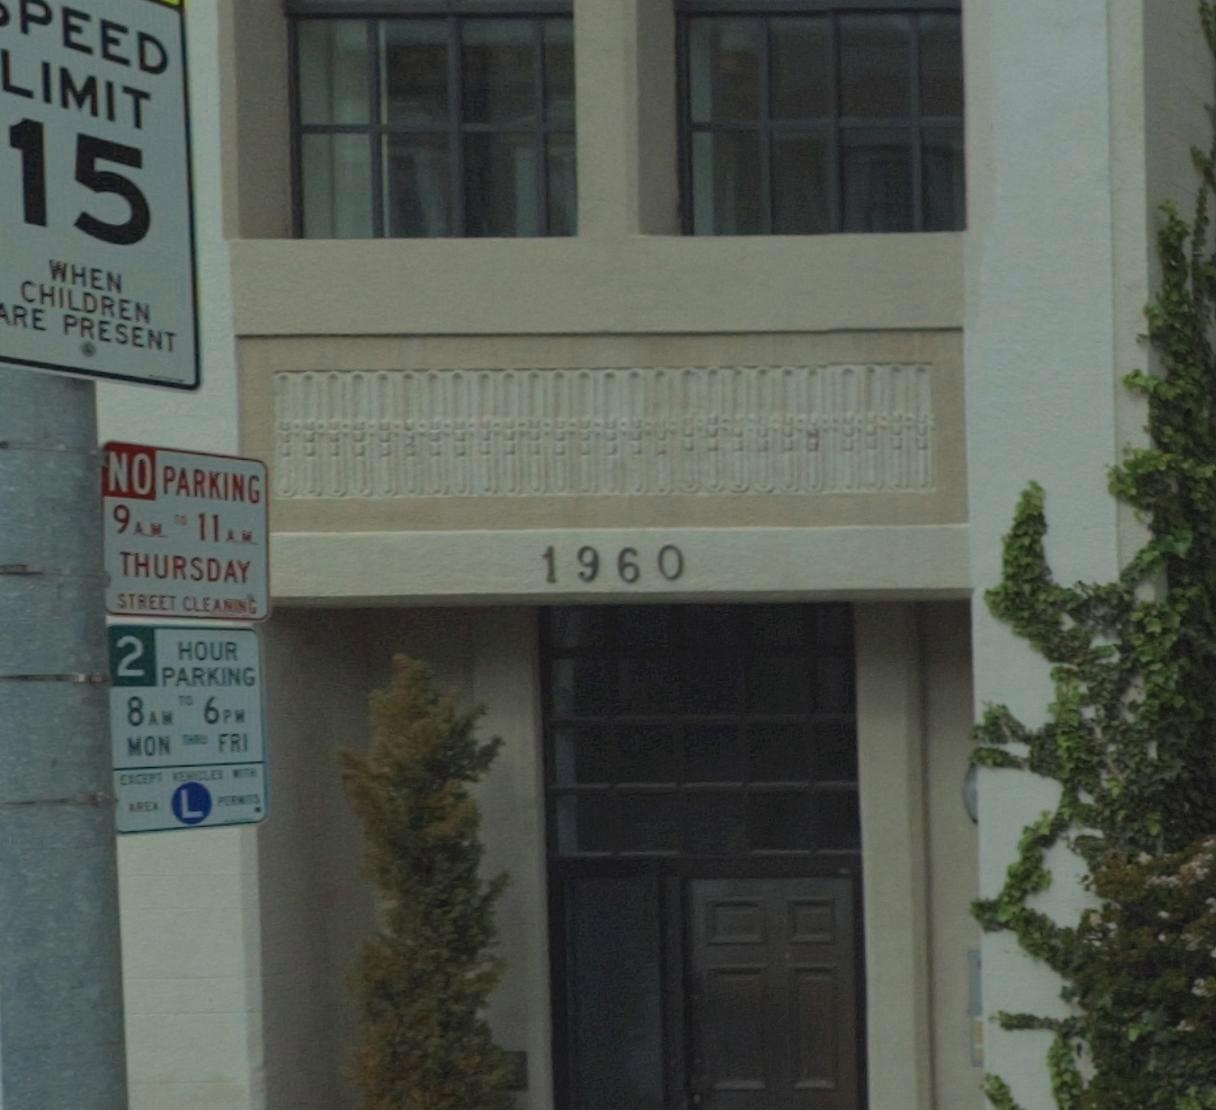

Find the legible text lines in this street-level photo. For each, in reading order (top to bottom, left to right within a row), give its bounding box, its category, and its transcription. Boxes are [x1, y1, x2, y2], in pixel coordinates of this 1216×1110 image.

[60, 2, 171, 78] None: EED
[0, 45, 153, 132] None: LIMIT
[8, 115, 153, 247] None: 15
[46, 256, 124, 295] None: WHEN
[19, 277, 151, 327] None: CHILDREN
[12, 302, 180, 356] None: RE PRESENT
[107, 449, 261, 506] None: NO PARKING
[110, 501, 169, 541] None: 9A.M.
[172, 512, 189, 527] None: TO
[196, 510, 259, 547] None: 11A.M.
[117, 548, 252, 585] None: THURSDAY
[540, 542, 685, 586] StreetNumber: 1960
[115, 589, 258, 617] None: STREET CLEANING
[114, 632, 146, 679] None: 2
[176, 638, 239, 662] None: HOUR
[159, 664, 256, 689] None: PARKING
[125, 693, 175, 727] None: 8AM
[176, 693, 197, 707] None: TO
[202, 693, 247, 725] None: 6PM
[126, 733, 172, 759] None: MON
[216, 730, 250, 756] None: FRI
[118, 770, 164, 789] None: EXCEPT
[179, 786, 206, 821] None: L